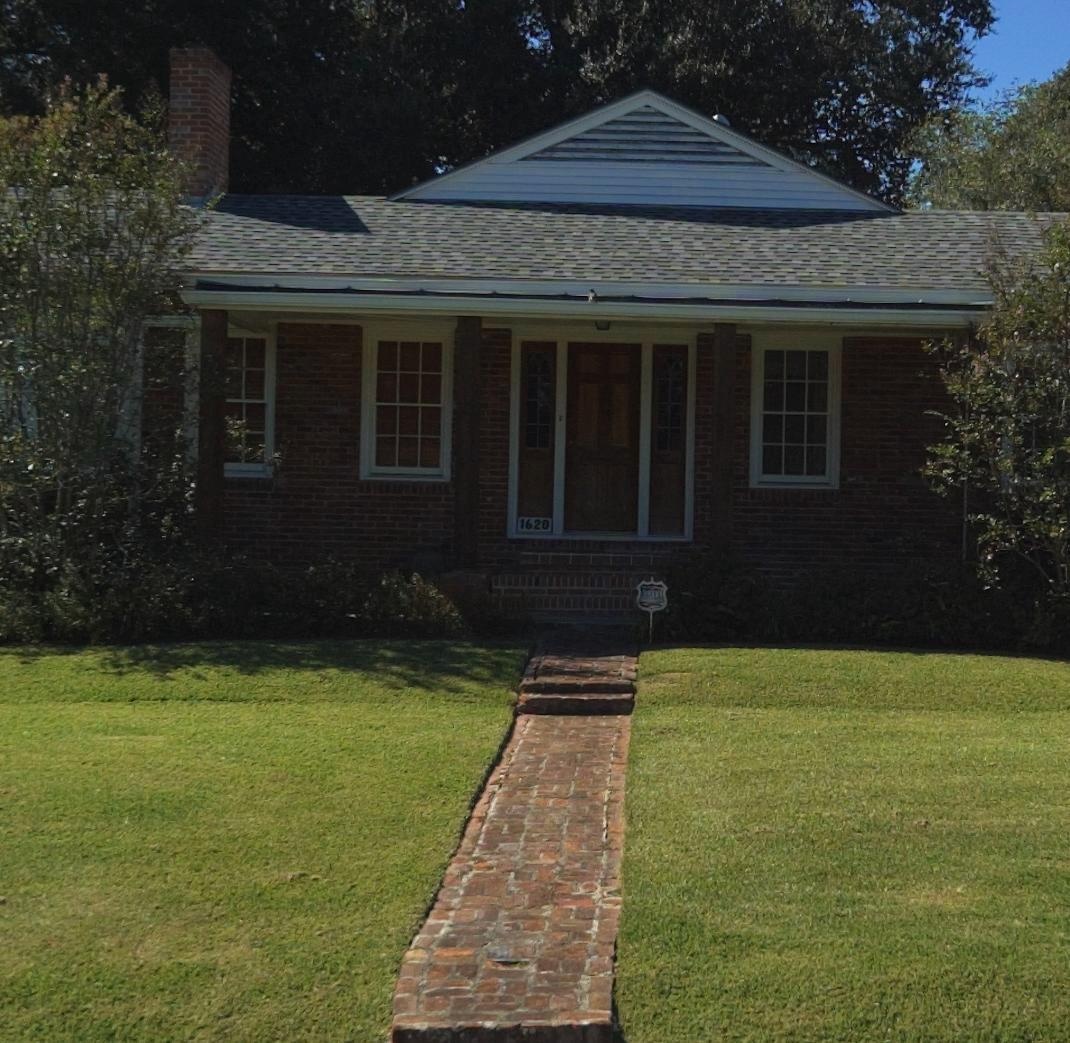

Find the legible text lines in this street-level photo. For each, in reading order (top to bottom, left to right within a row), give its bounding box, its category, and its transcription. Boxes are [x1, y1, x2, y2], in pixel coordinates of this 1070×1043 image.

[518, 517, 551, 531] StreetNumber: 1620